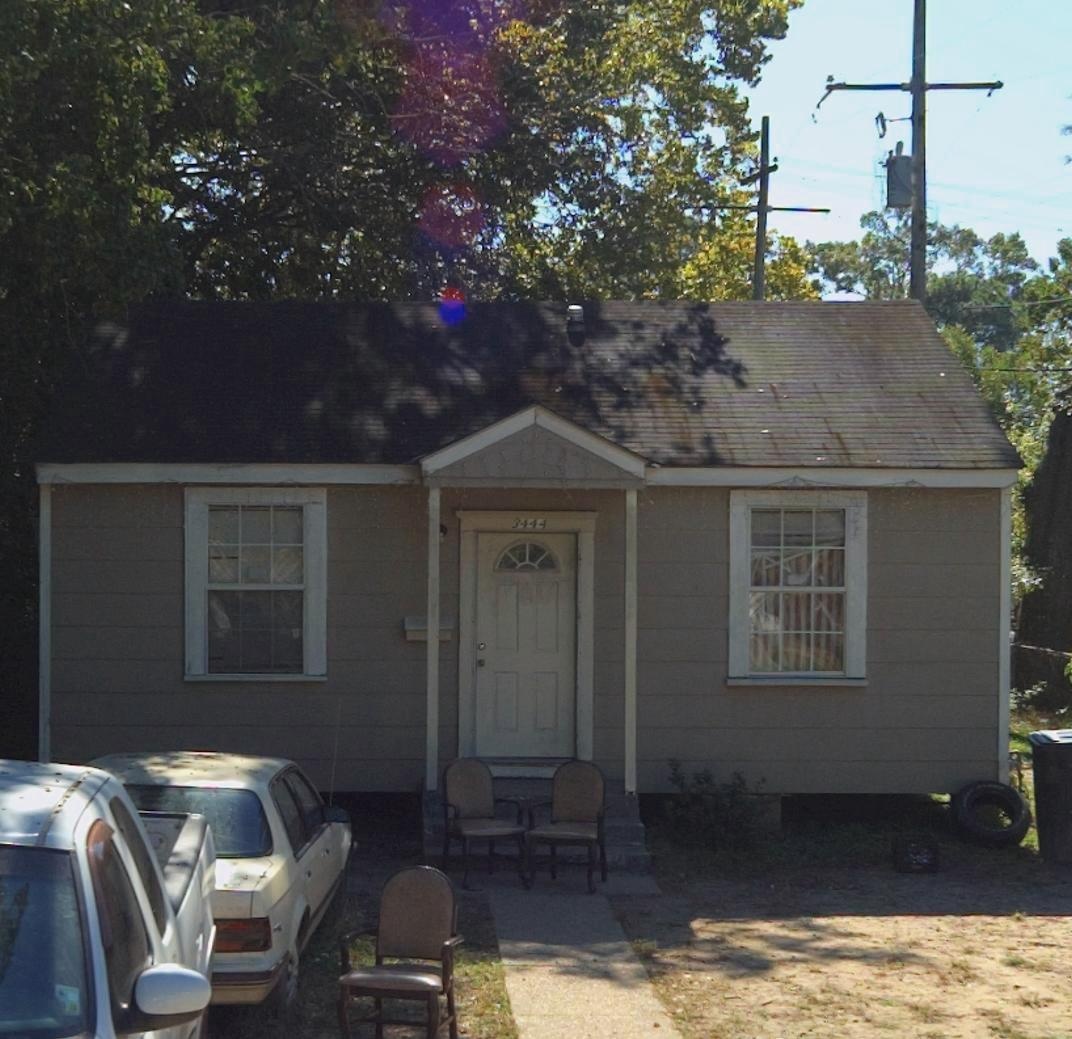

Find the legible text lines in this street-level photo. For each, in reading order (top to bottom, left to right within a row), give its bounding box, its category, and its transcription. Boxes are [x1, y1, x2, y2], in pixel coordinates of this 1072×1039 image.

[510, 516, 549, 530] StreetNumber: 3444